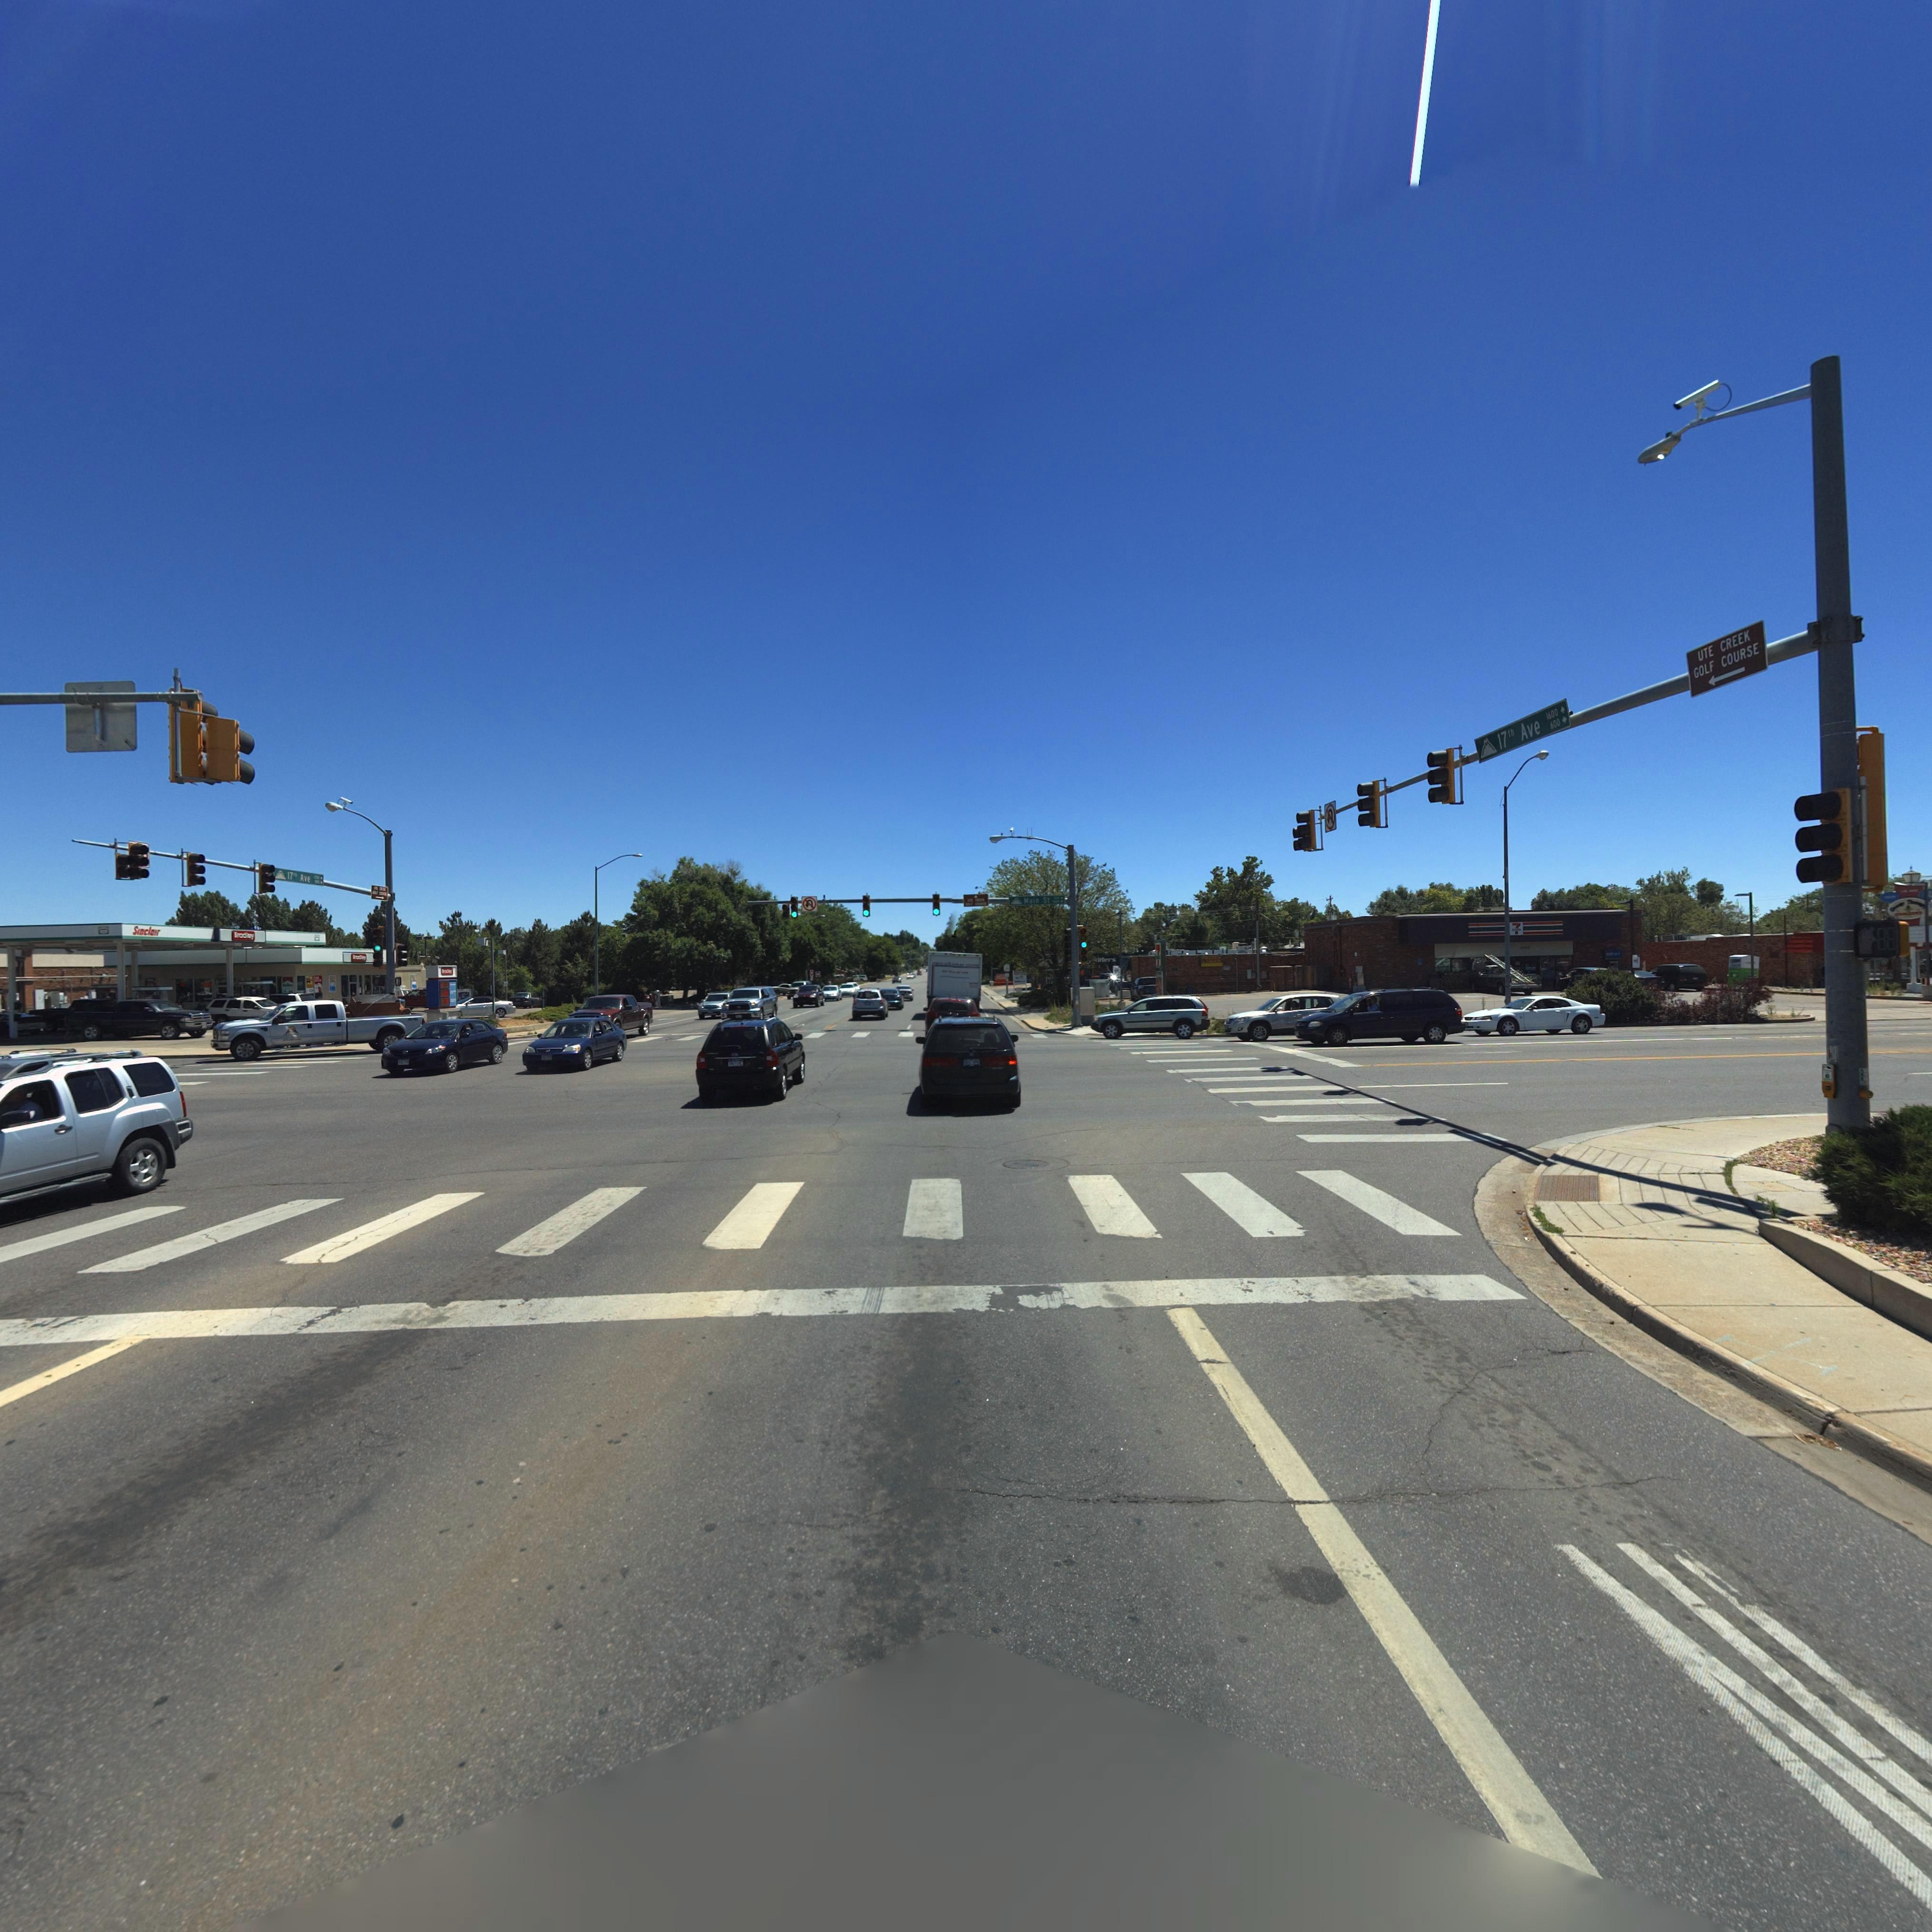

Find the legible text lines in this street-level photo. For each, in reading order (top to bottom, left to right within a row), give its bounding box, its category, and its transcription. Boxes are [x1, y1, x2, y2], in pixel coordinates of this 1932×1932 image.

[1546, 707, 1559, 720] StreetNumberRange: 1600
[1549, 715, 1567, 729] StreetNumberRange: 600->
[1496, 720, 1541, 750] StreetName: 17th Ave
[287, 871, 311, 883] StreetName: 17th Ave
[313, 875, 319, 879] StreetNumberRange: 1*00
[314, 879, 323, 884] StreetNumberRange: 500->
[1024, 896, 1050, 904] StreetName: Main St
[132, 925, 162, 936] BusinessName: Sinclair
[233, 931, 254, 940] BusinessName: Bradley
[1511, 922, 1521, 935] BusinessName: 7
[352, 954, 366, 961] BusinessName: Bradley
[1097, 956, 1116, 962] BusinessName: *ters
[1155, 944, 1161, 966] BusinessName: 7
[442, 968, 453, 974] BusinessName: Bradley